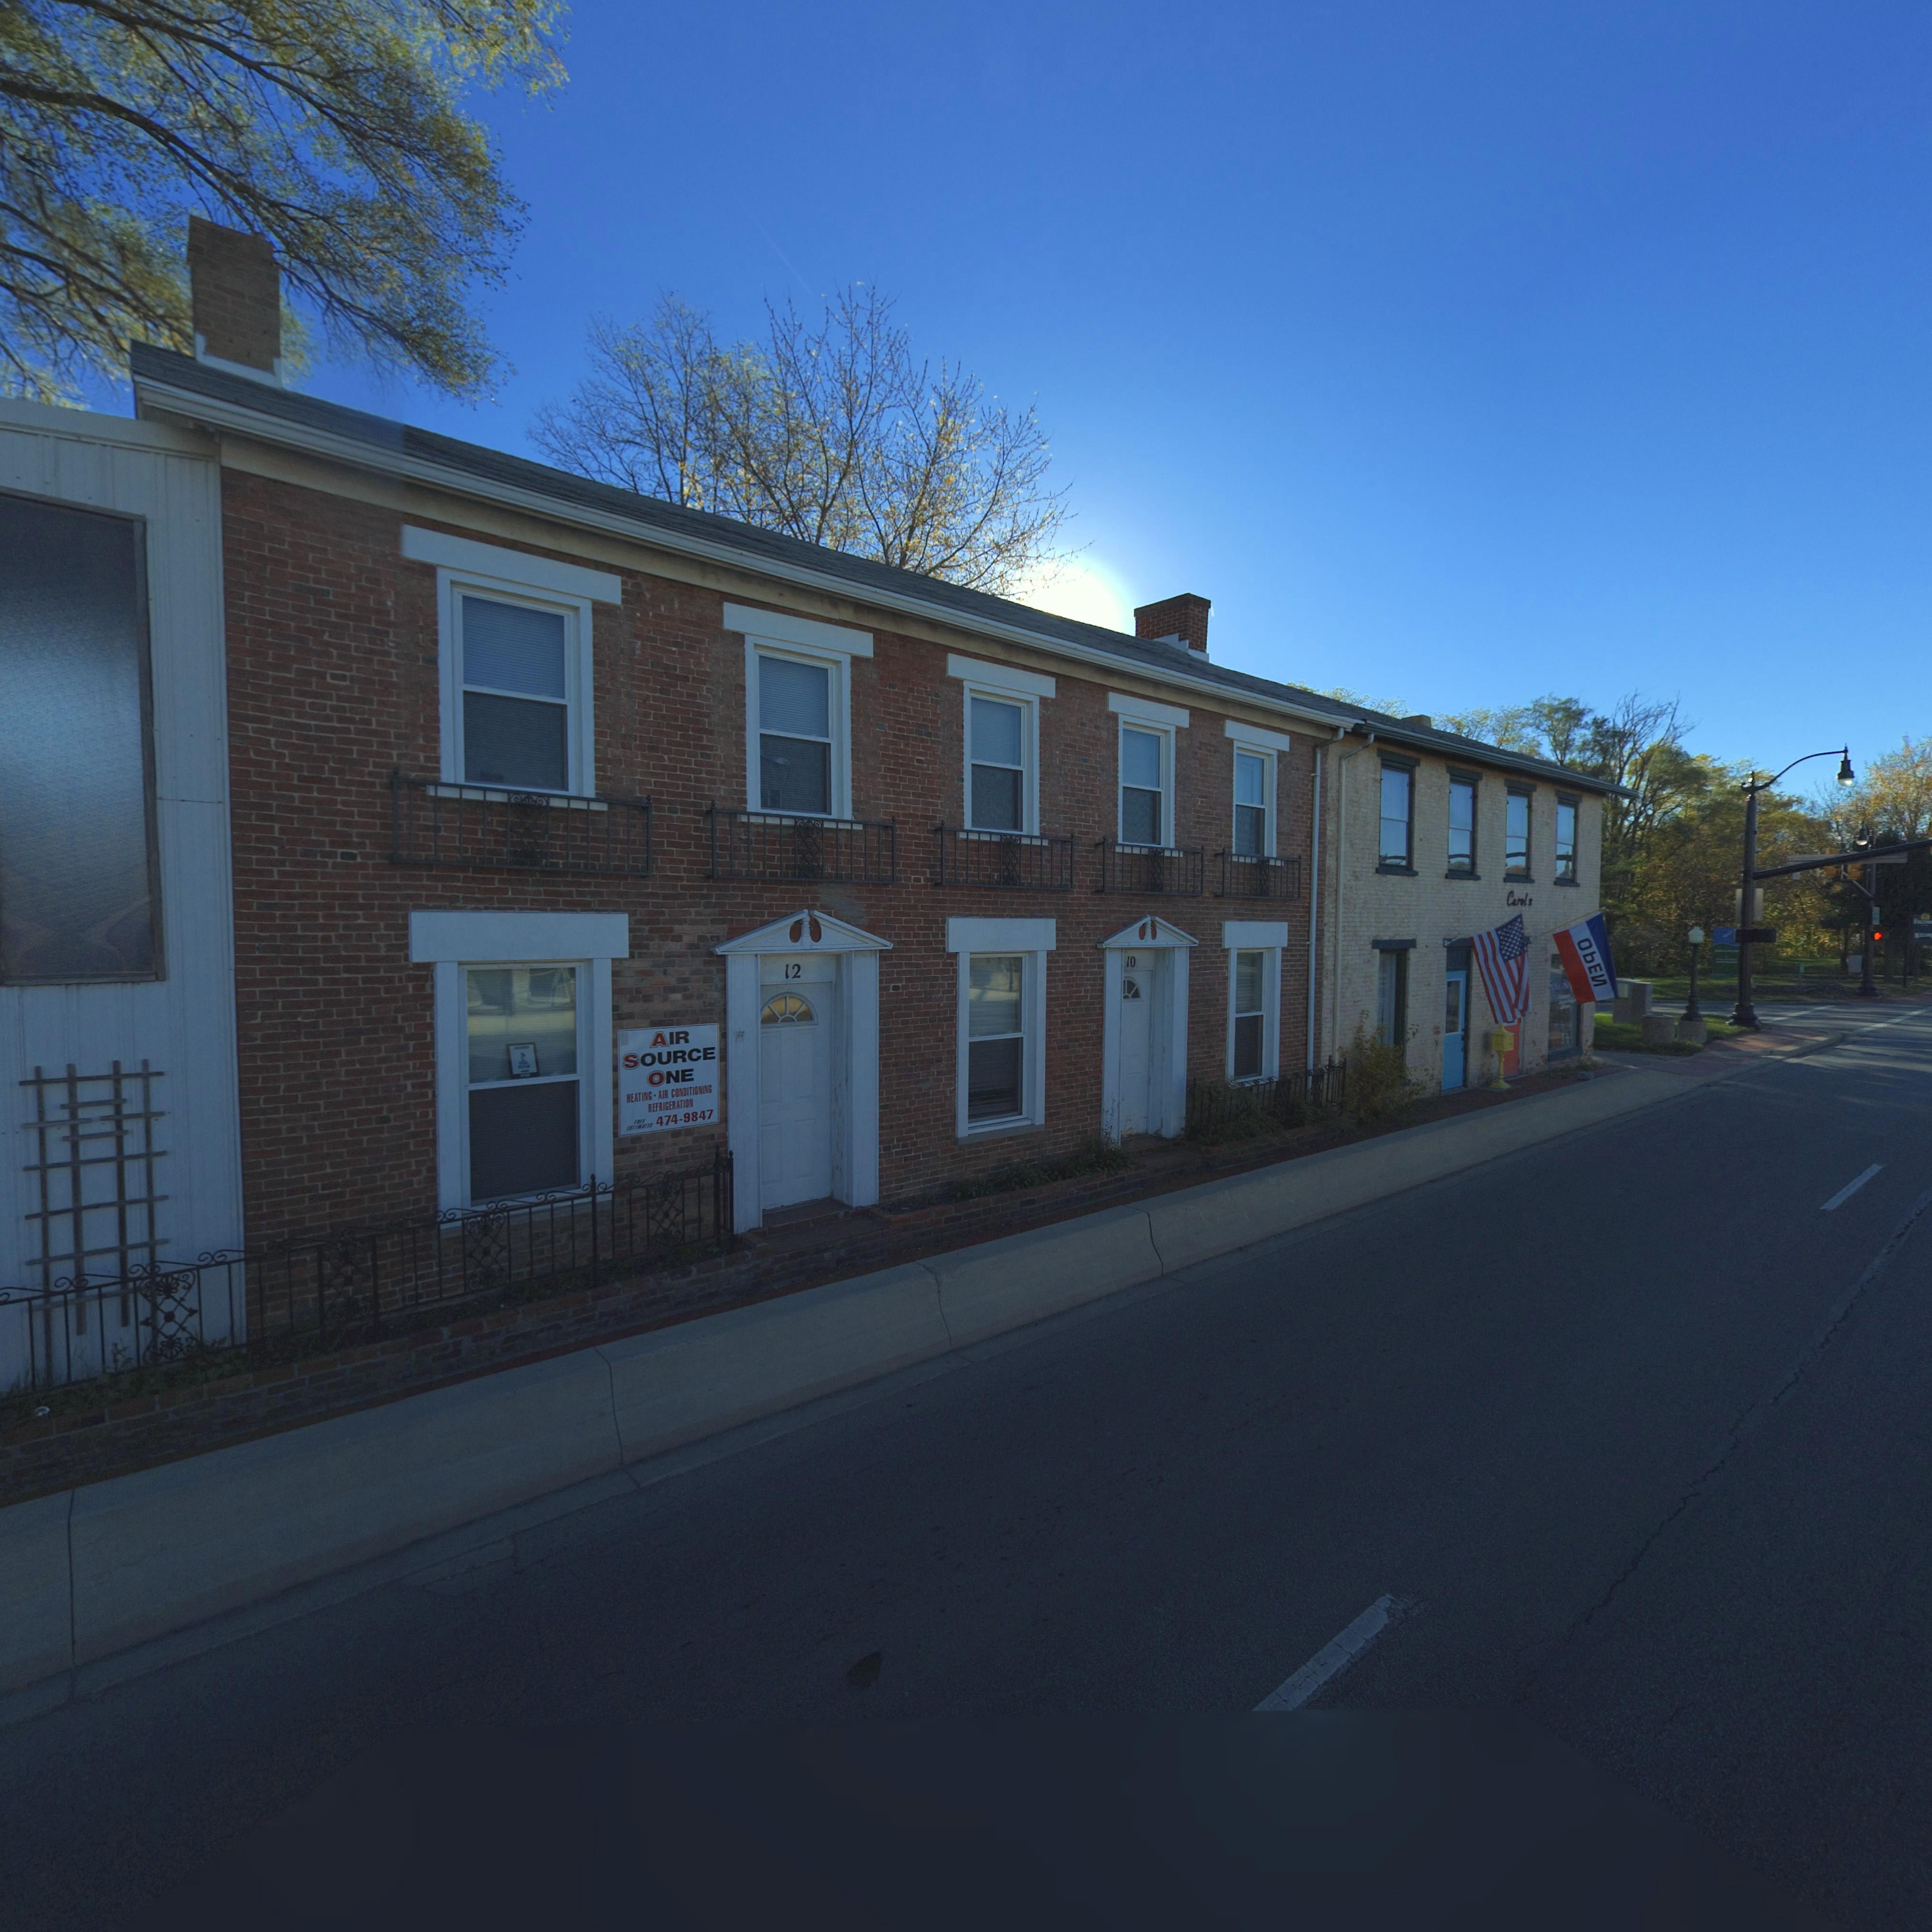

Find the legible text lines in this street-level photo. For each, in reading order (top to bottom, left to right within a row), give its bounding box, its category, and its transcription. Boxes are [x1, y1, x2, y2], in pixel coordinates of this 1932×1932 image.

[1506, 888, 1535, 908] None: Carols
[784, 963, 802, 980] StreetNumber: 12
[1126, 956, 1136, 968] StreetNumber: 10
[649, 1029, 689, 1050] None: AIR
[622, 1045, 717, 1071] None: SOURCE
[646, 1068, 694, 1089] None: ONE
[625, 1084, 712, 1103] None: HEATING * AIR CONDITIONING
[647, 1098, 694, 1114] None: REFRIGERATION
[655, 1109, 713, 1128] None: 474-9847